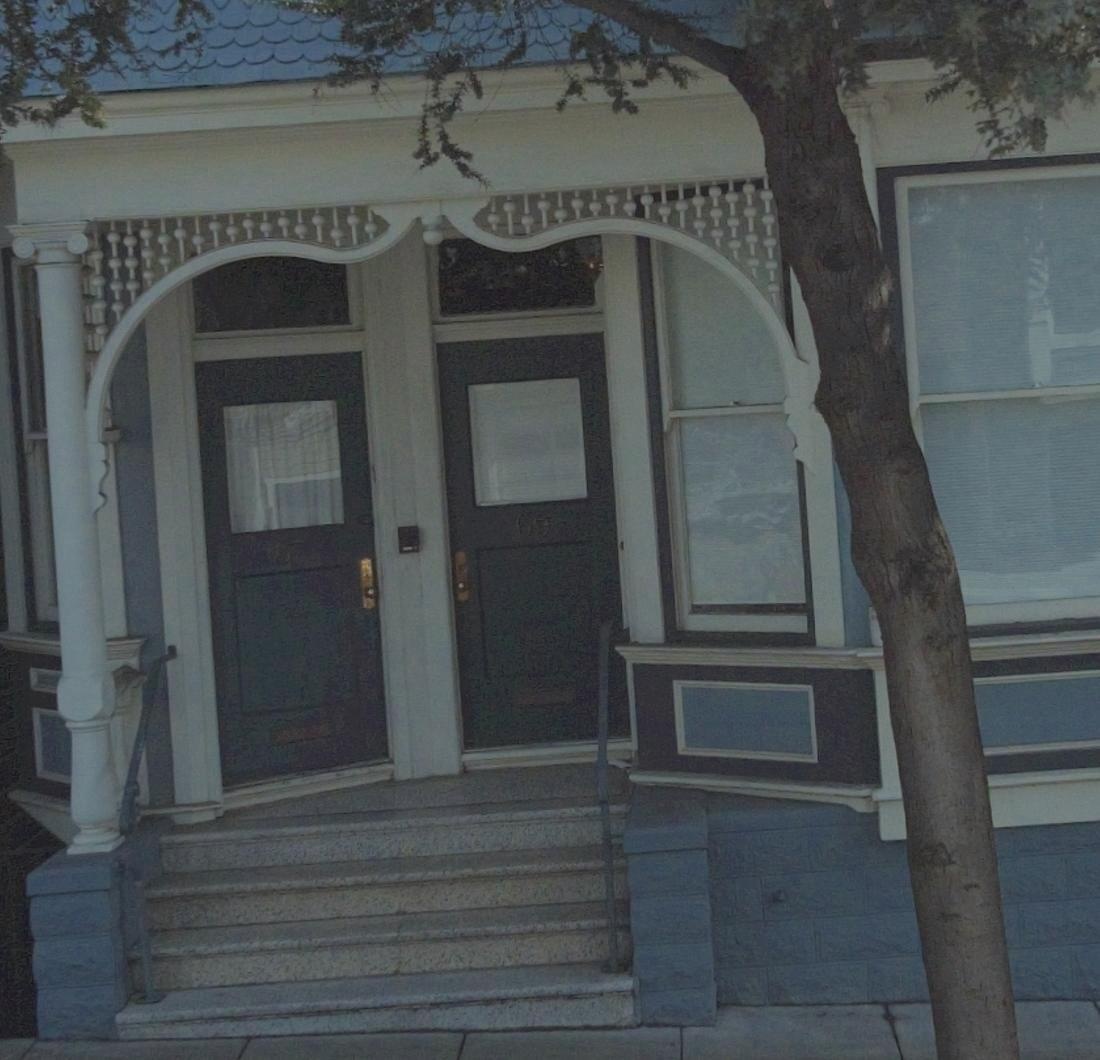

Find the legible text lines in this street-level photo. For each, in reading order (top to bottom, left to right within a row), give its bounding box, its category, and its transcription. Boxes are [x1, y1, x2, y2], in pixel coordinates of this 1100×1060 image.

[514, 512, 552, 540] StreetNumber: 69
[272, 539, 307, 565] StreetNumber: 67